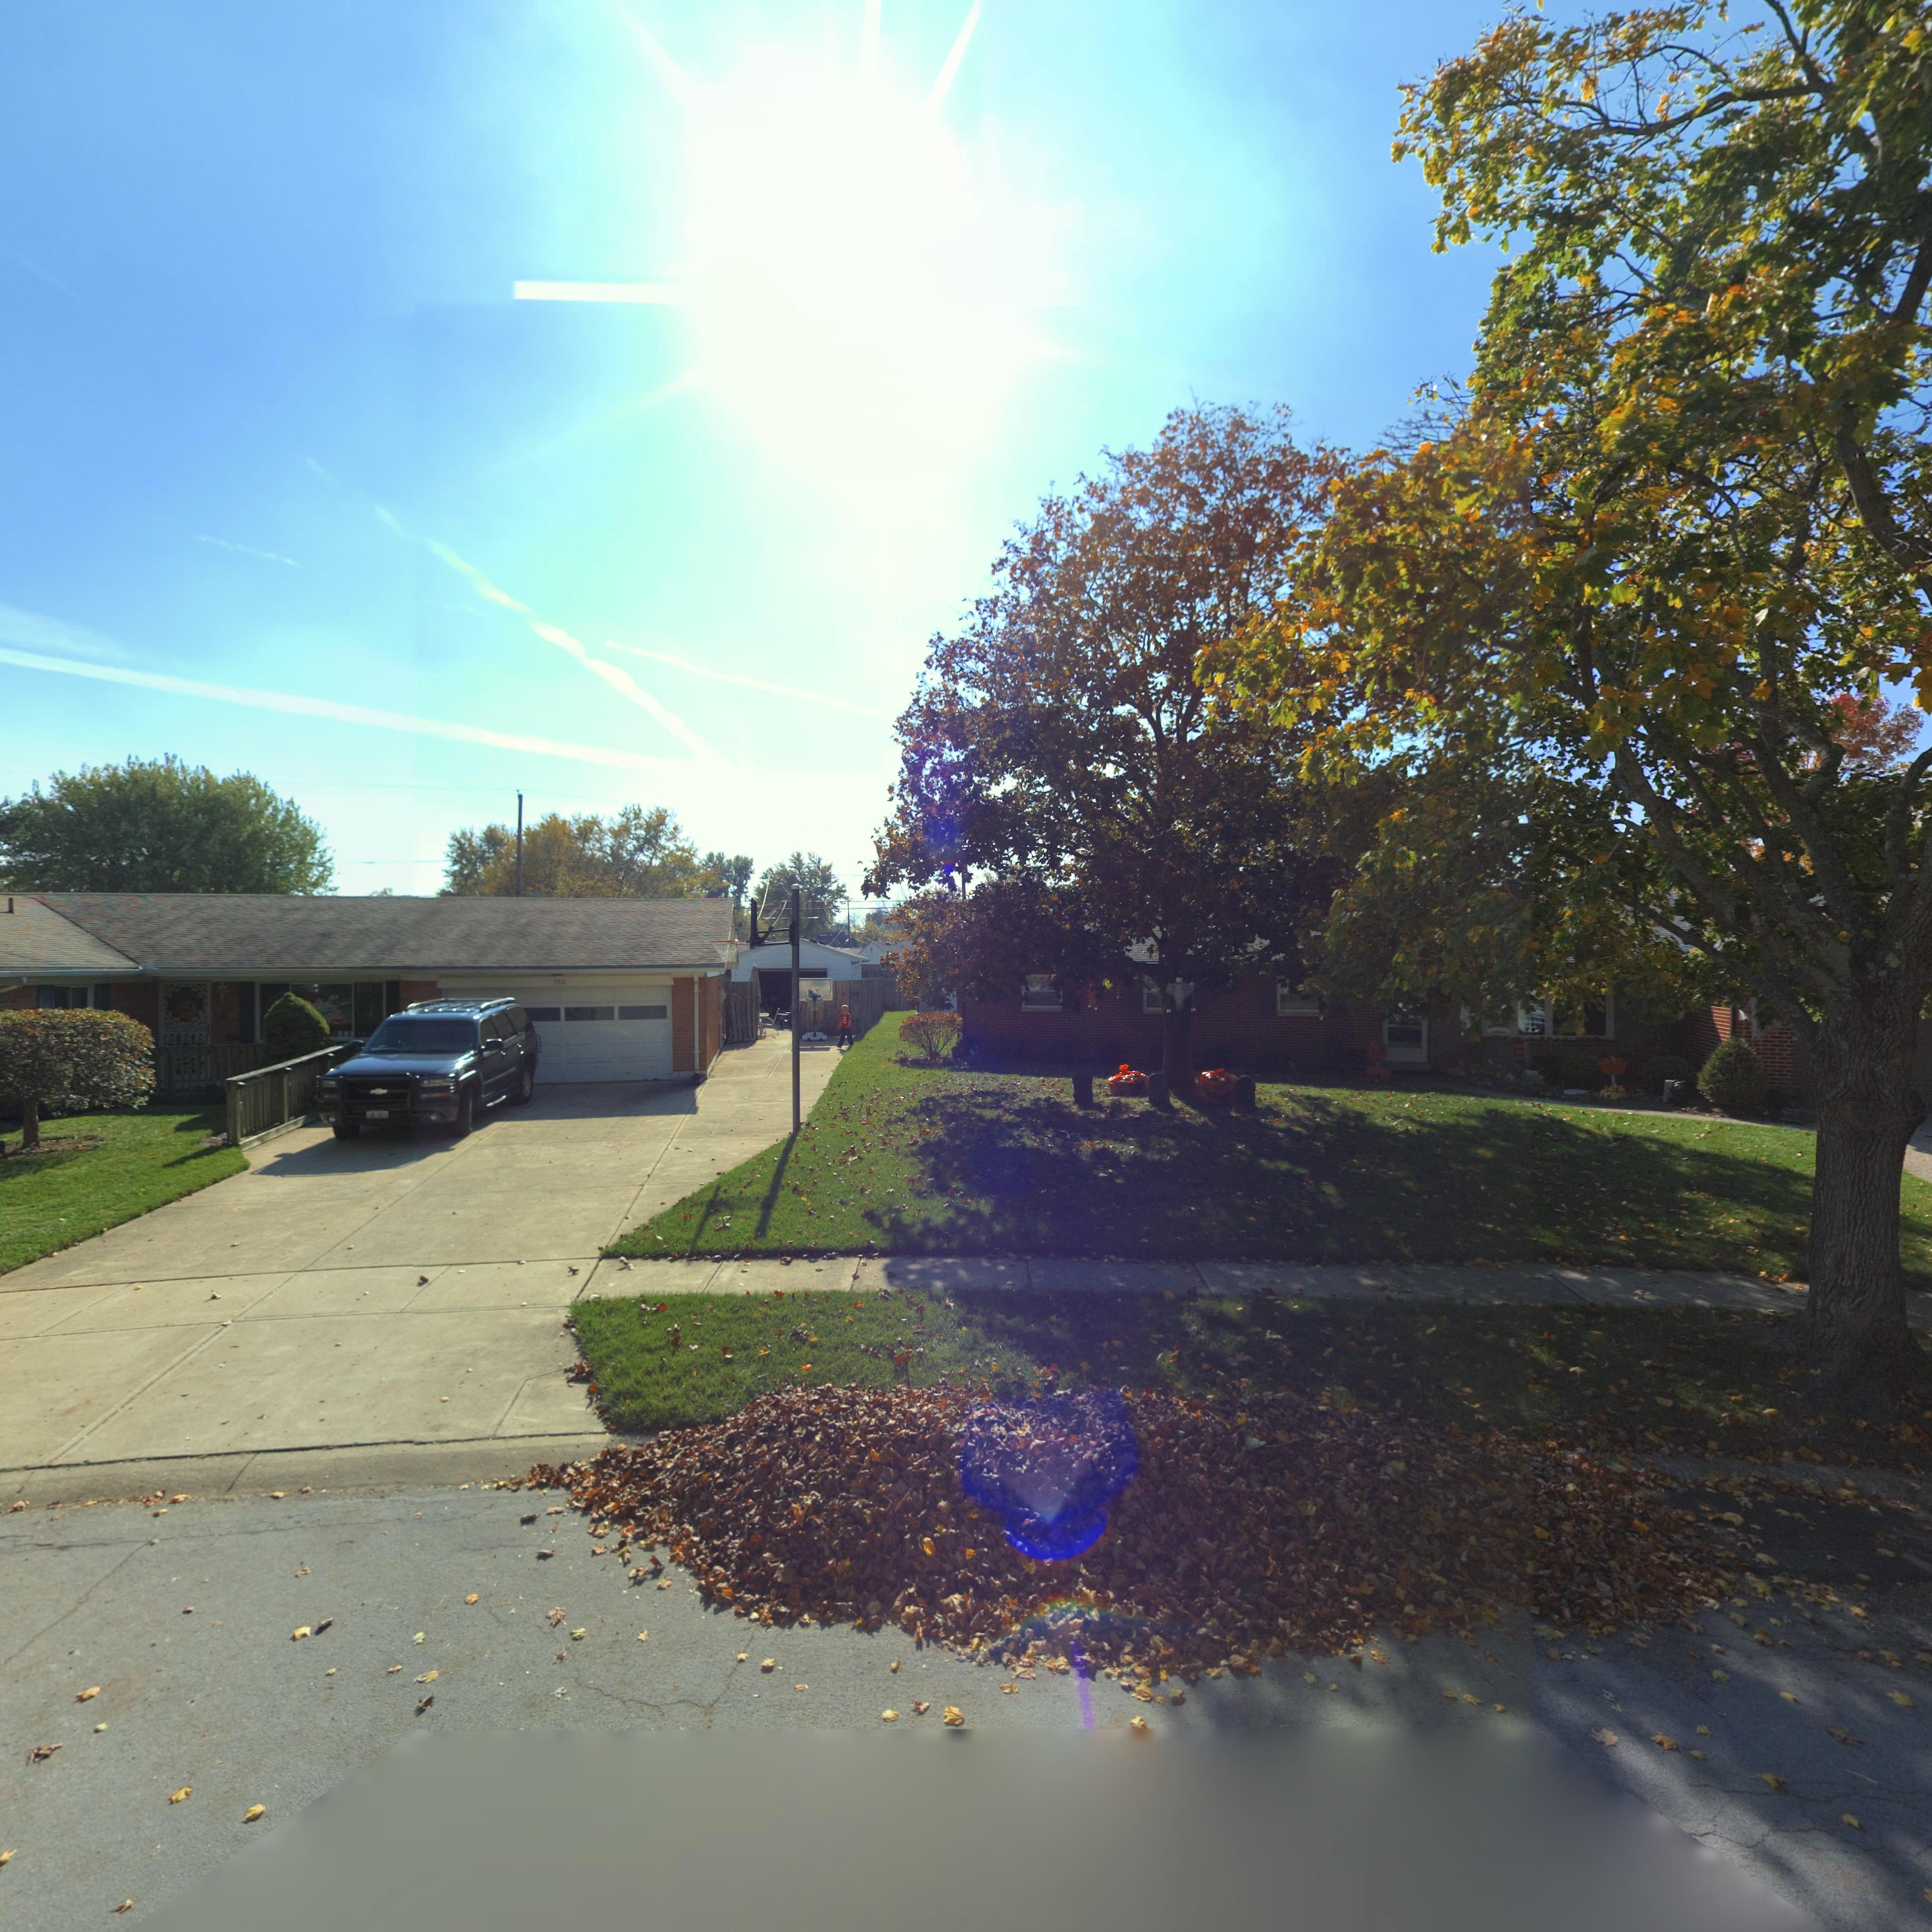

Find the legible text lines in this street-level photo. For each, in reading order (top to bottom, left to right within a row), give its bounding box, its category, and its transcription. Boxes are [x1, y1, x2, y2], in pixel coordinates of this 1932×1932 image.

[553, 979, 566, 985] StreetNumber: 950
[842, 1016, 847, 1024] None: 2